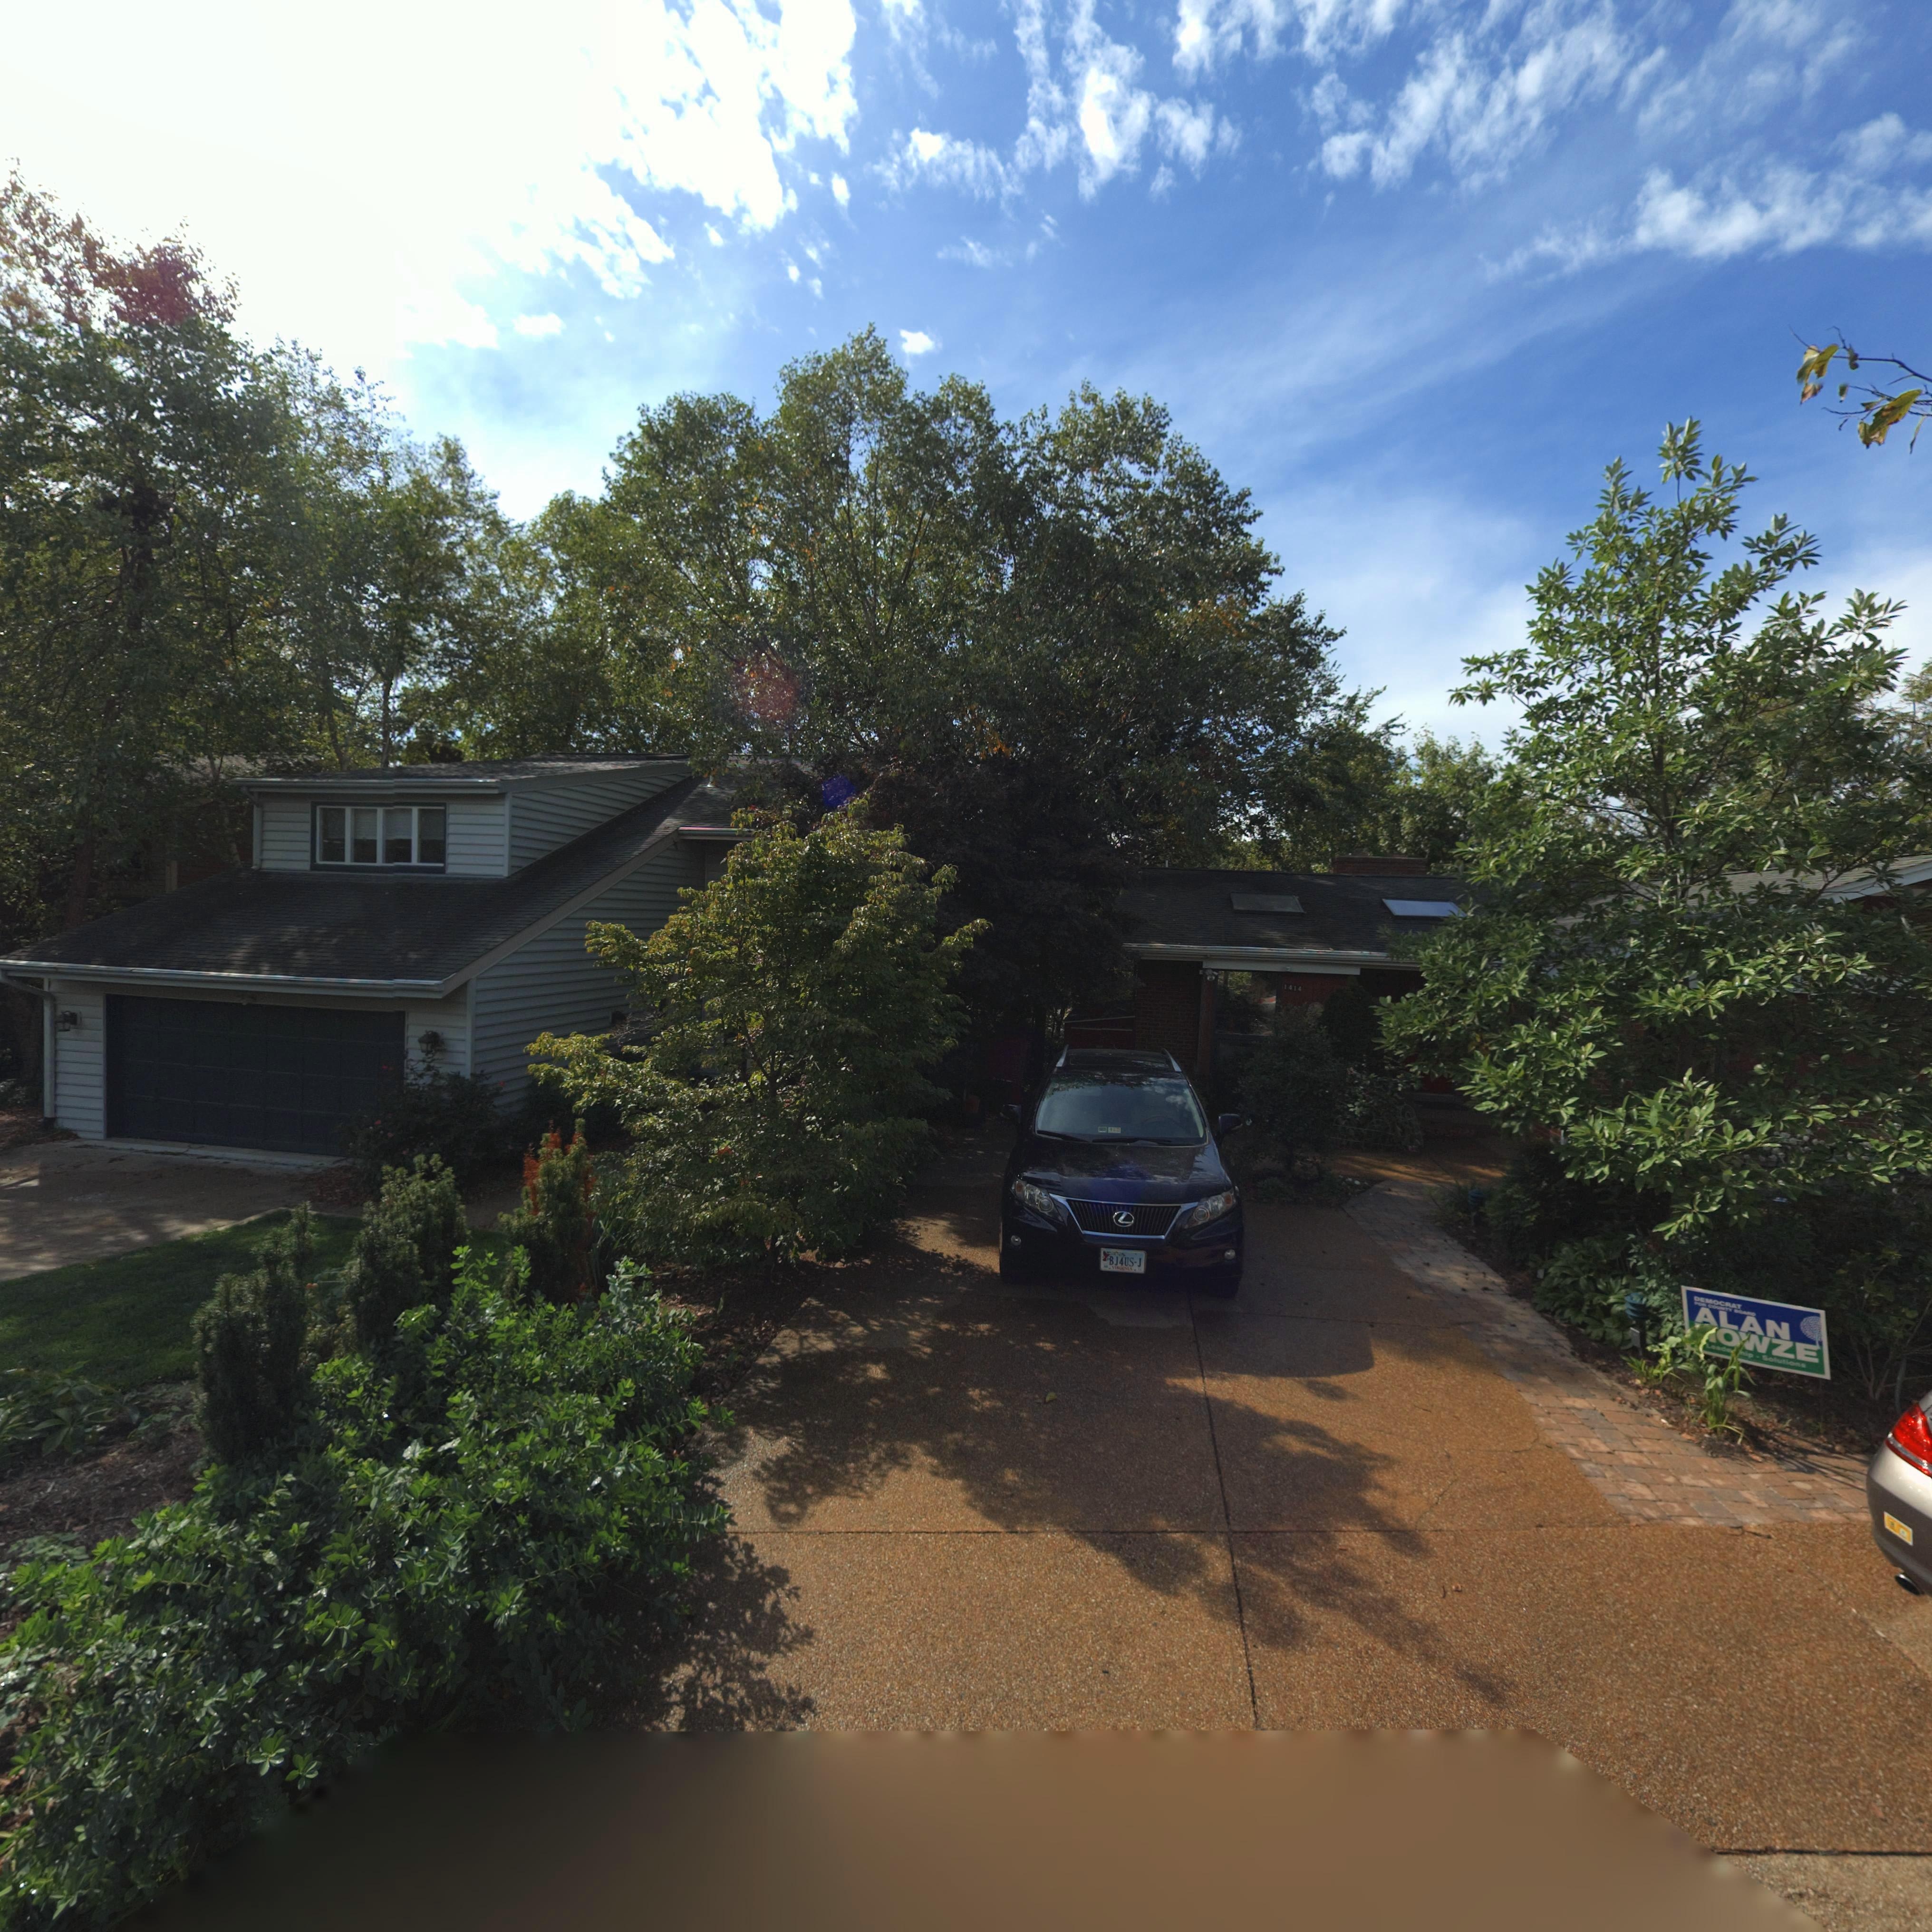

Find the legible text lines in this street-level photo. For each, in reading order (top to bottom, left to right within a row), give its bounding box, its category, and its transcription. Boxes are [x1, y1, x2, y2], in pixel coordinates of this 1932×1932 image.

[1283, 983, 1303, 993] StreetNumber: 1414
[1108, 1254, 1143, 1269] None: BJ4US-J
[1693, 1294, 1743, 1311] None: DEMOCRAT
[1693, 1305, 1791, 1341] None: ALAN
[1716, 1328, 1821, 1365] None: owze